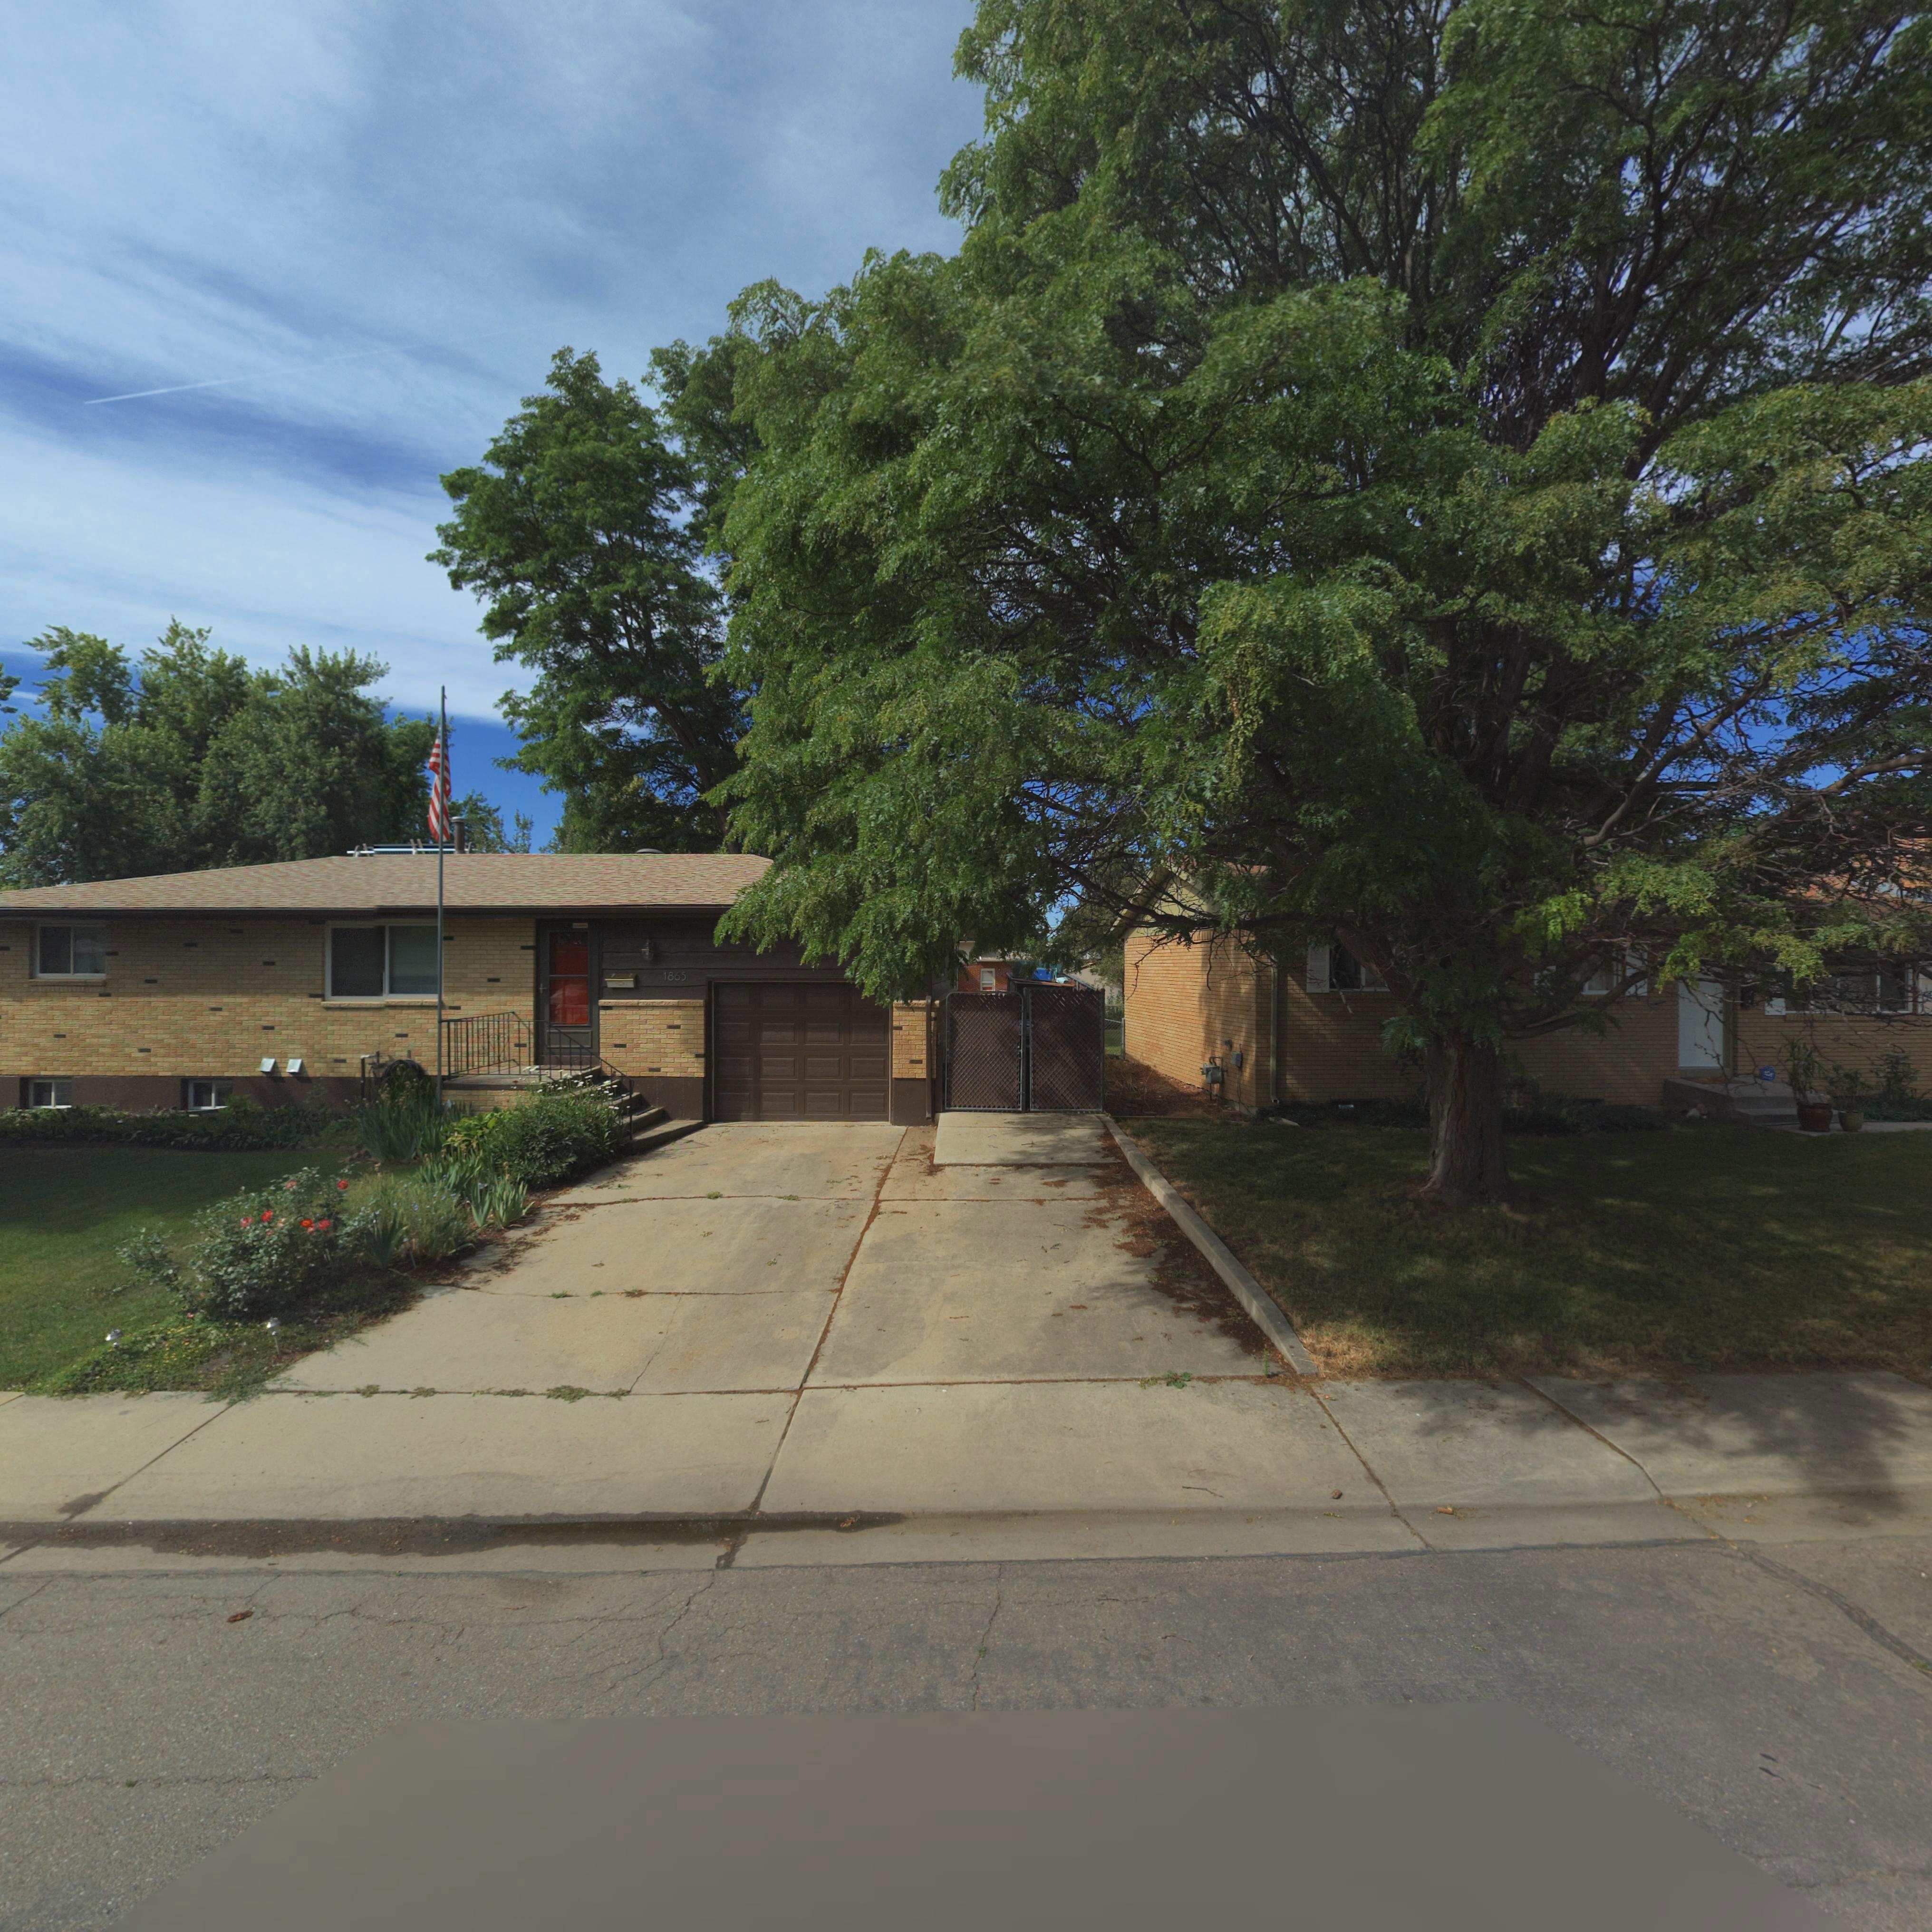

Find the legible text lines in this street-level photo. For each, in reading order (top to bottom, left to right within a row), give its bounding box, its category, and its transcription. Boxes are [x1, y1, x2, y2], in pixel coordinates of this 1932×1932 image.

[663, 971, 686, 981] StreetNumber: 1865